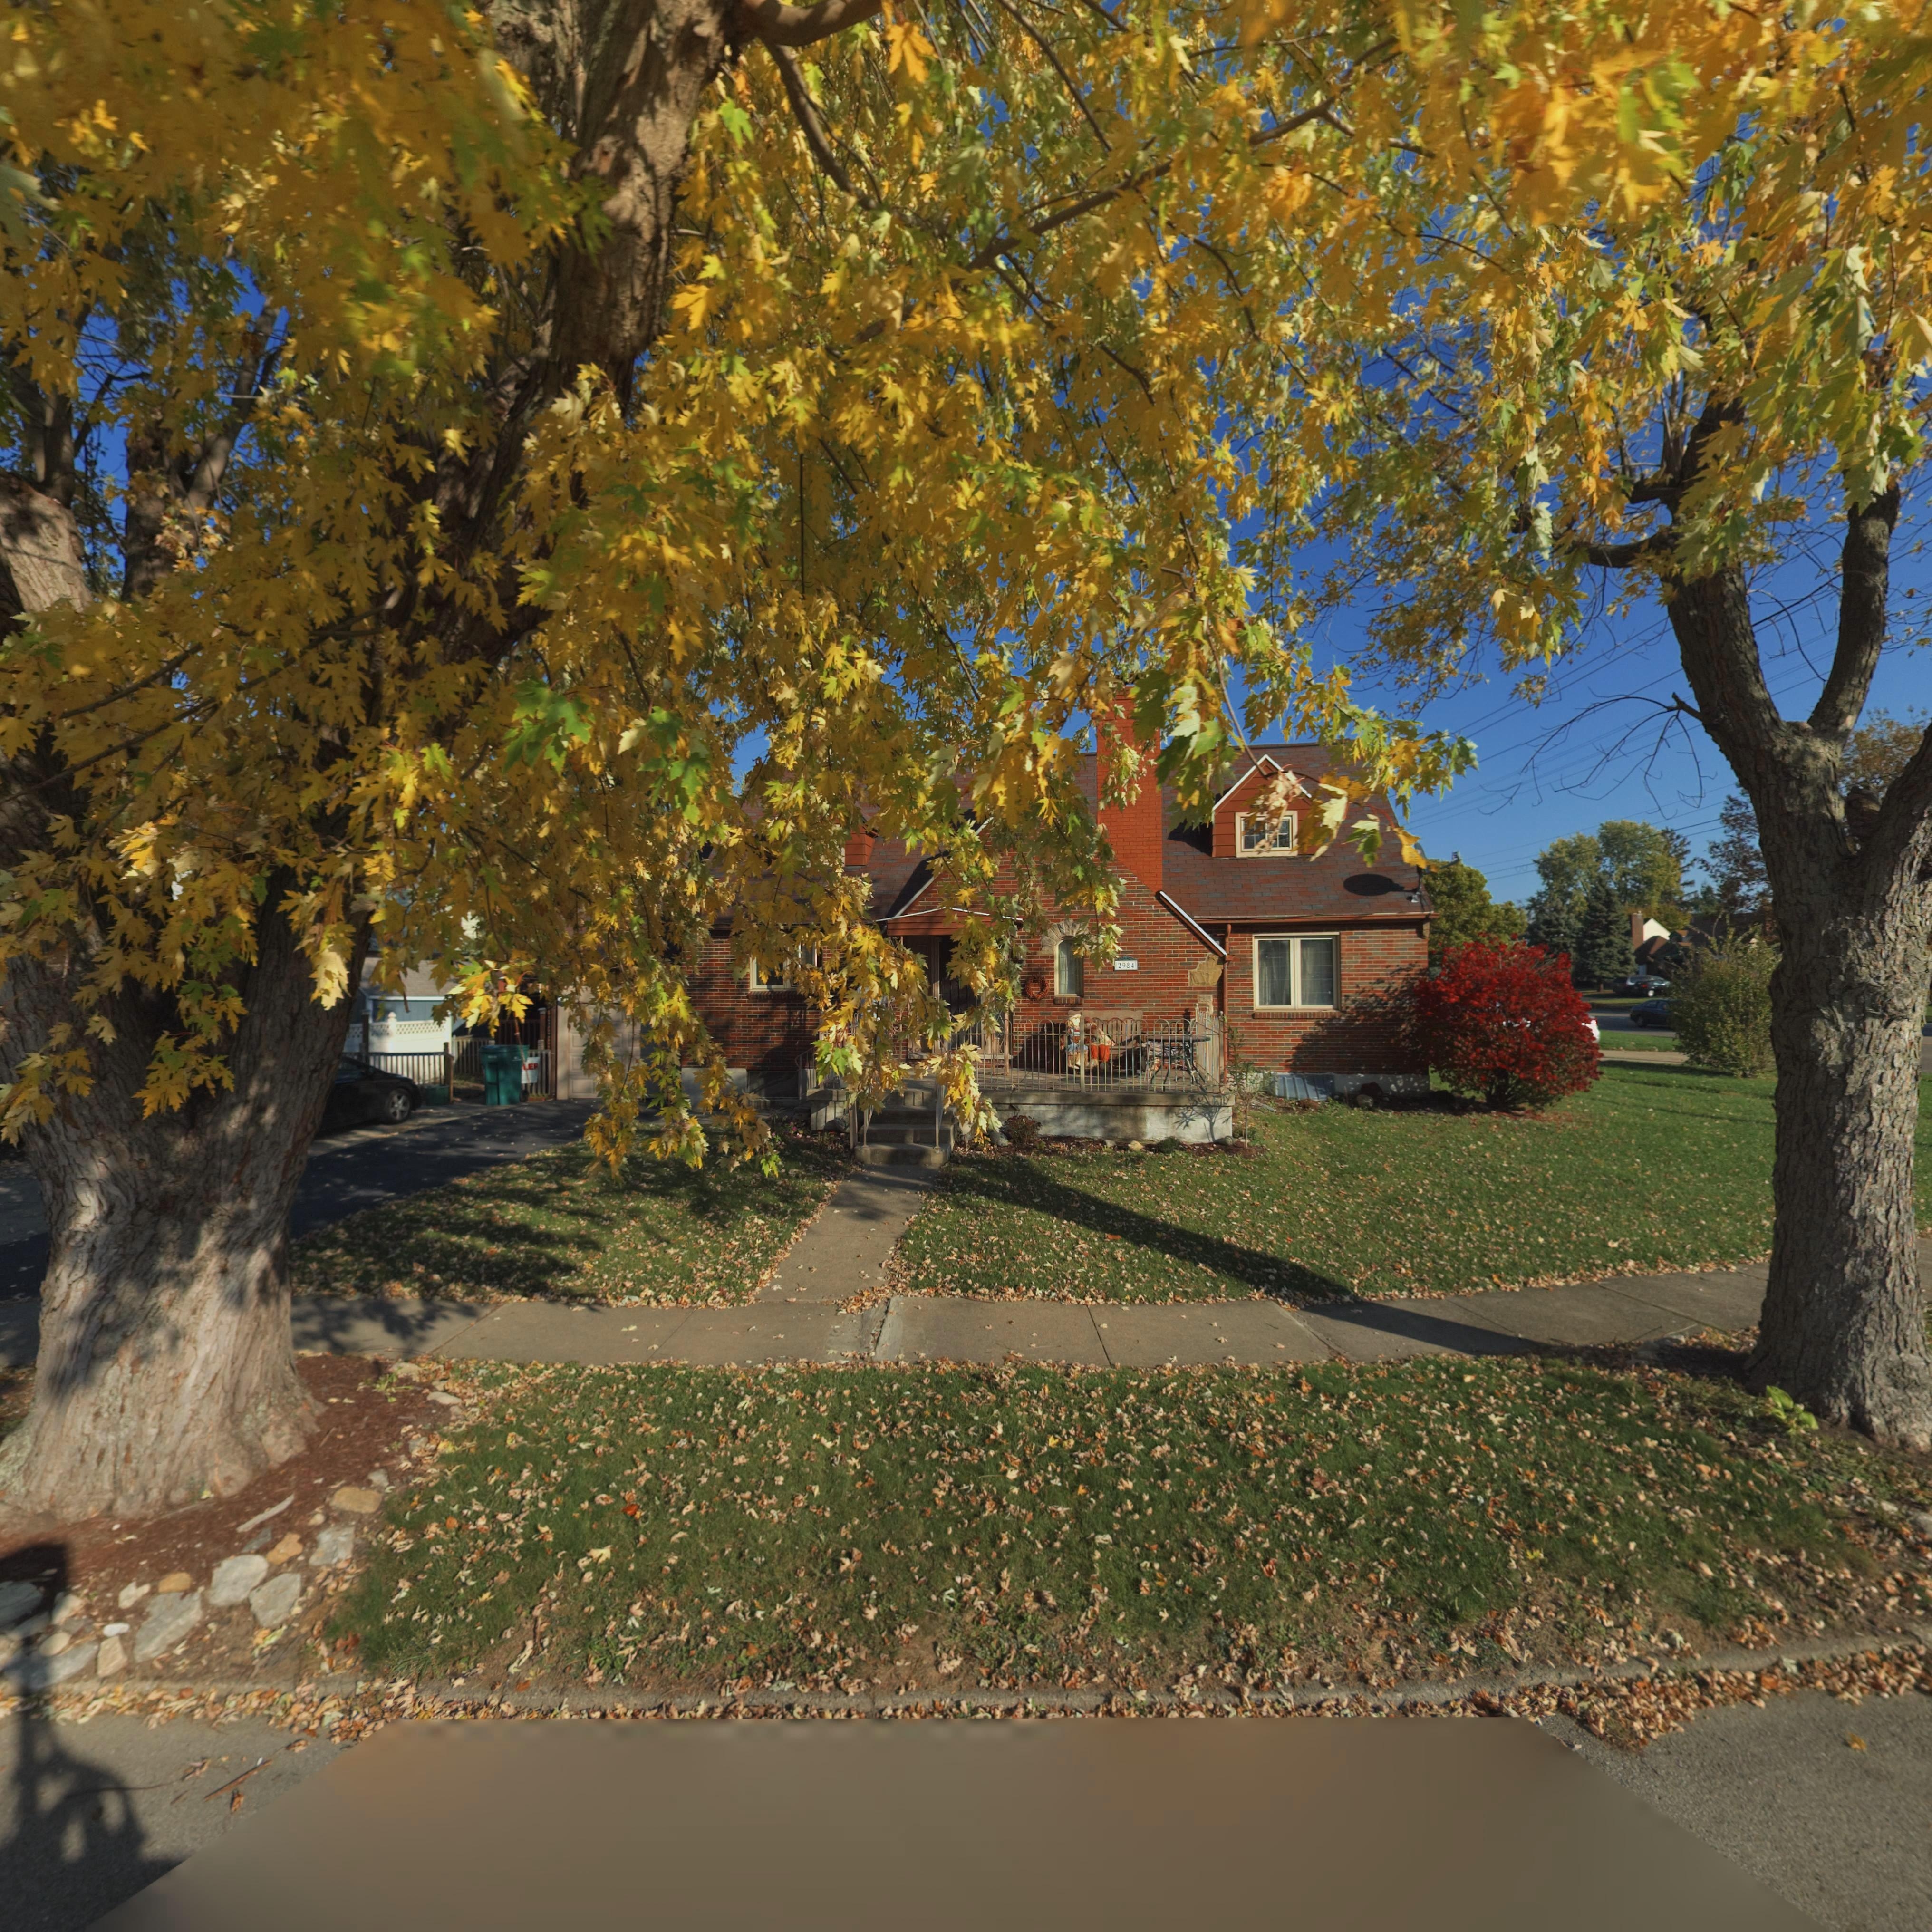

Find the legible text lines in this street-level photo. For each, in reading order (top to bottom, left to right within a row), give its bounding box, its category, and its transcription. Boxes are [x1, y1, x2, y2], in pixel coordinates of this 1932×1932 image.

[1116, 961, 1136, 969] StreetNumber: 2984
[527, 1062, 535, 1071] None: E